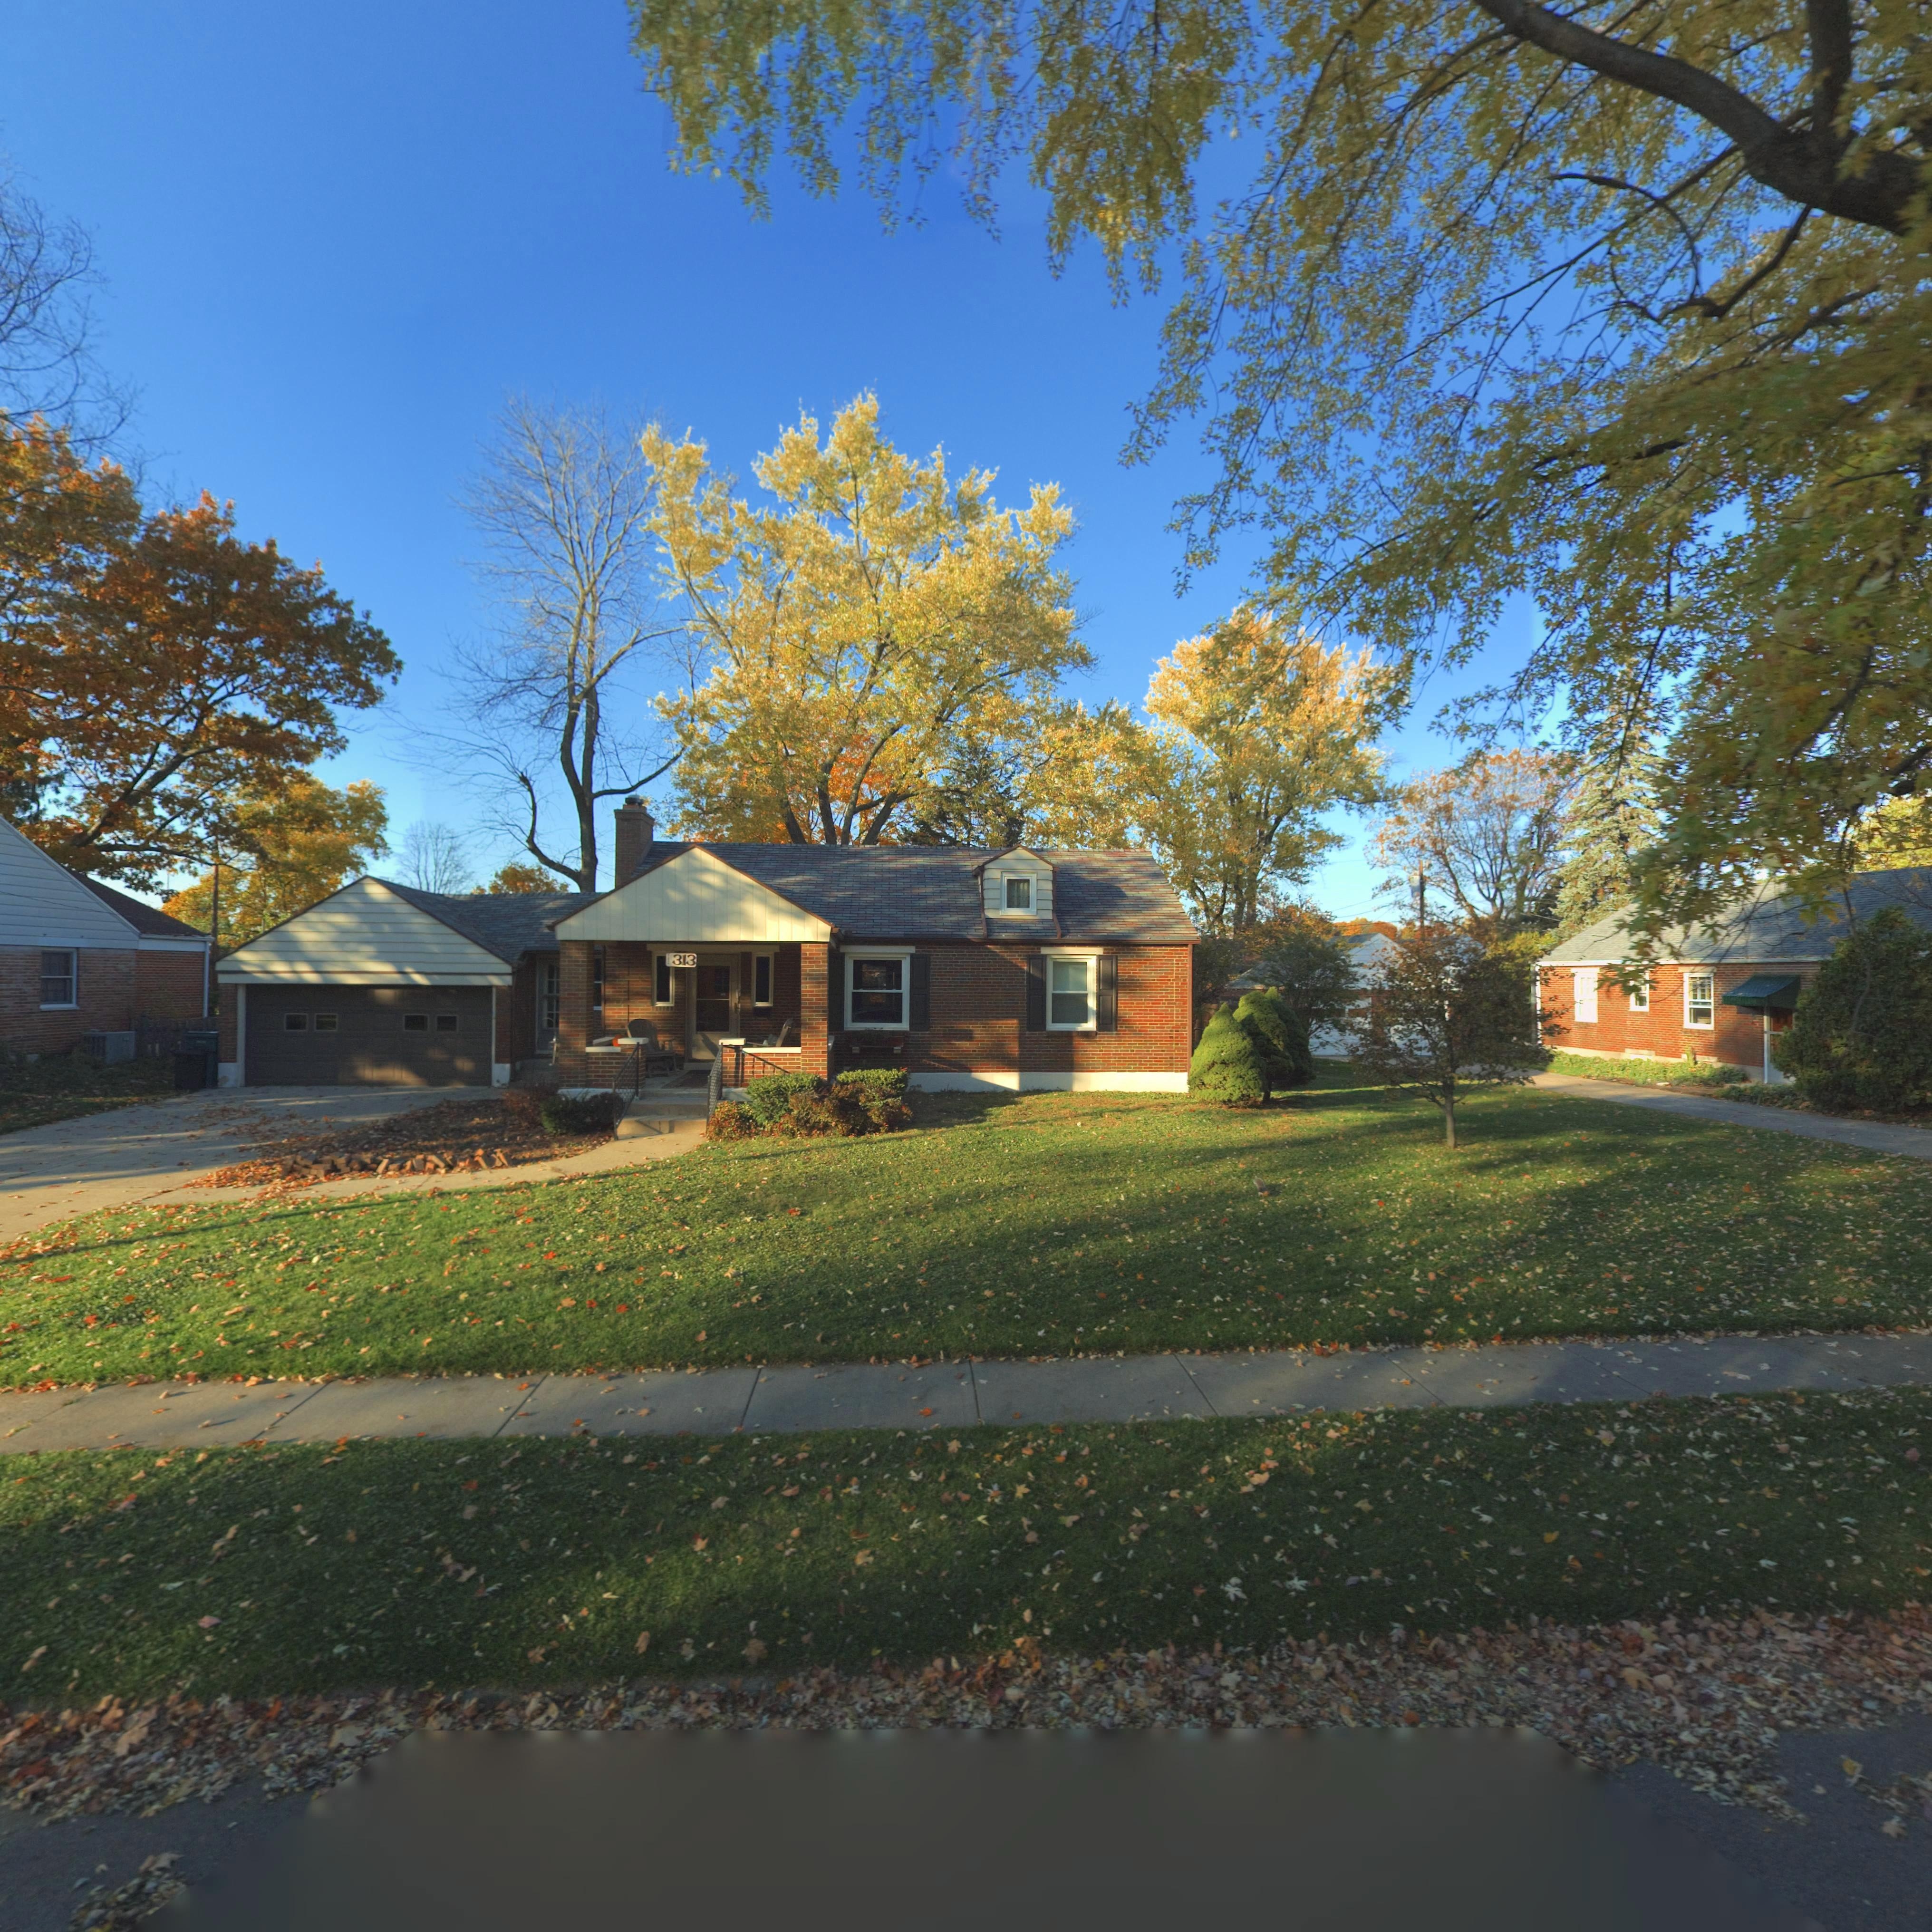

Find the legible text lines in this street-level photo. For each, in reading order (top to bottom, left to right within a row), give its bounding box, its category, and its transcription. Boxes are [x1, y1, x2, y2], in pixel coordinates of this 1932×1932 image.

[673, 954, 696, 966] StreetNumber: 313